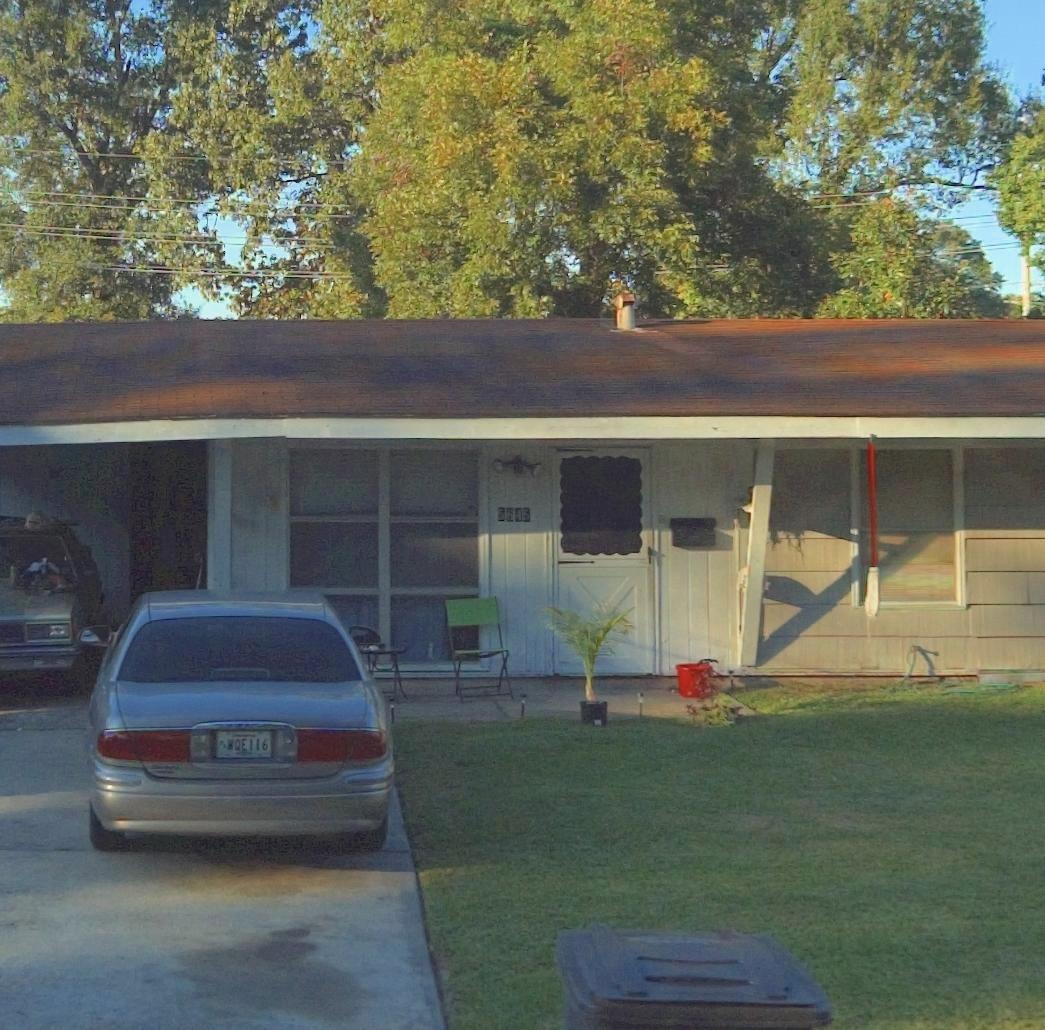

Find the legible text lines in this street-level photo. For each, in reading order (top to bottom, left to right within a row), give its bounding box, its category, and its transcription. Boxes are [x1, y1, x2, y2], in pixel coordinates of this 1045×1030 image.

[497, 507, 530, 522] StreetNumber: 5845
[225, 738, 269, 752] None: WQE116